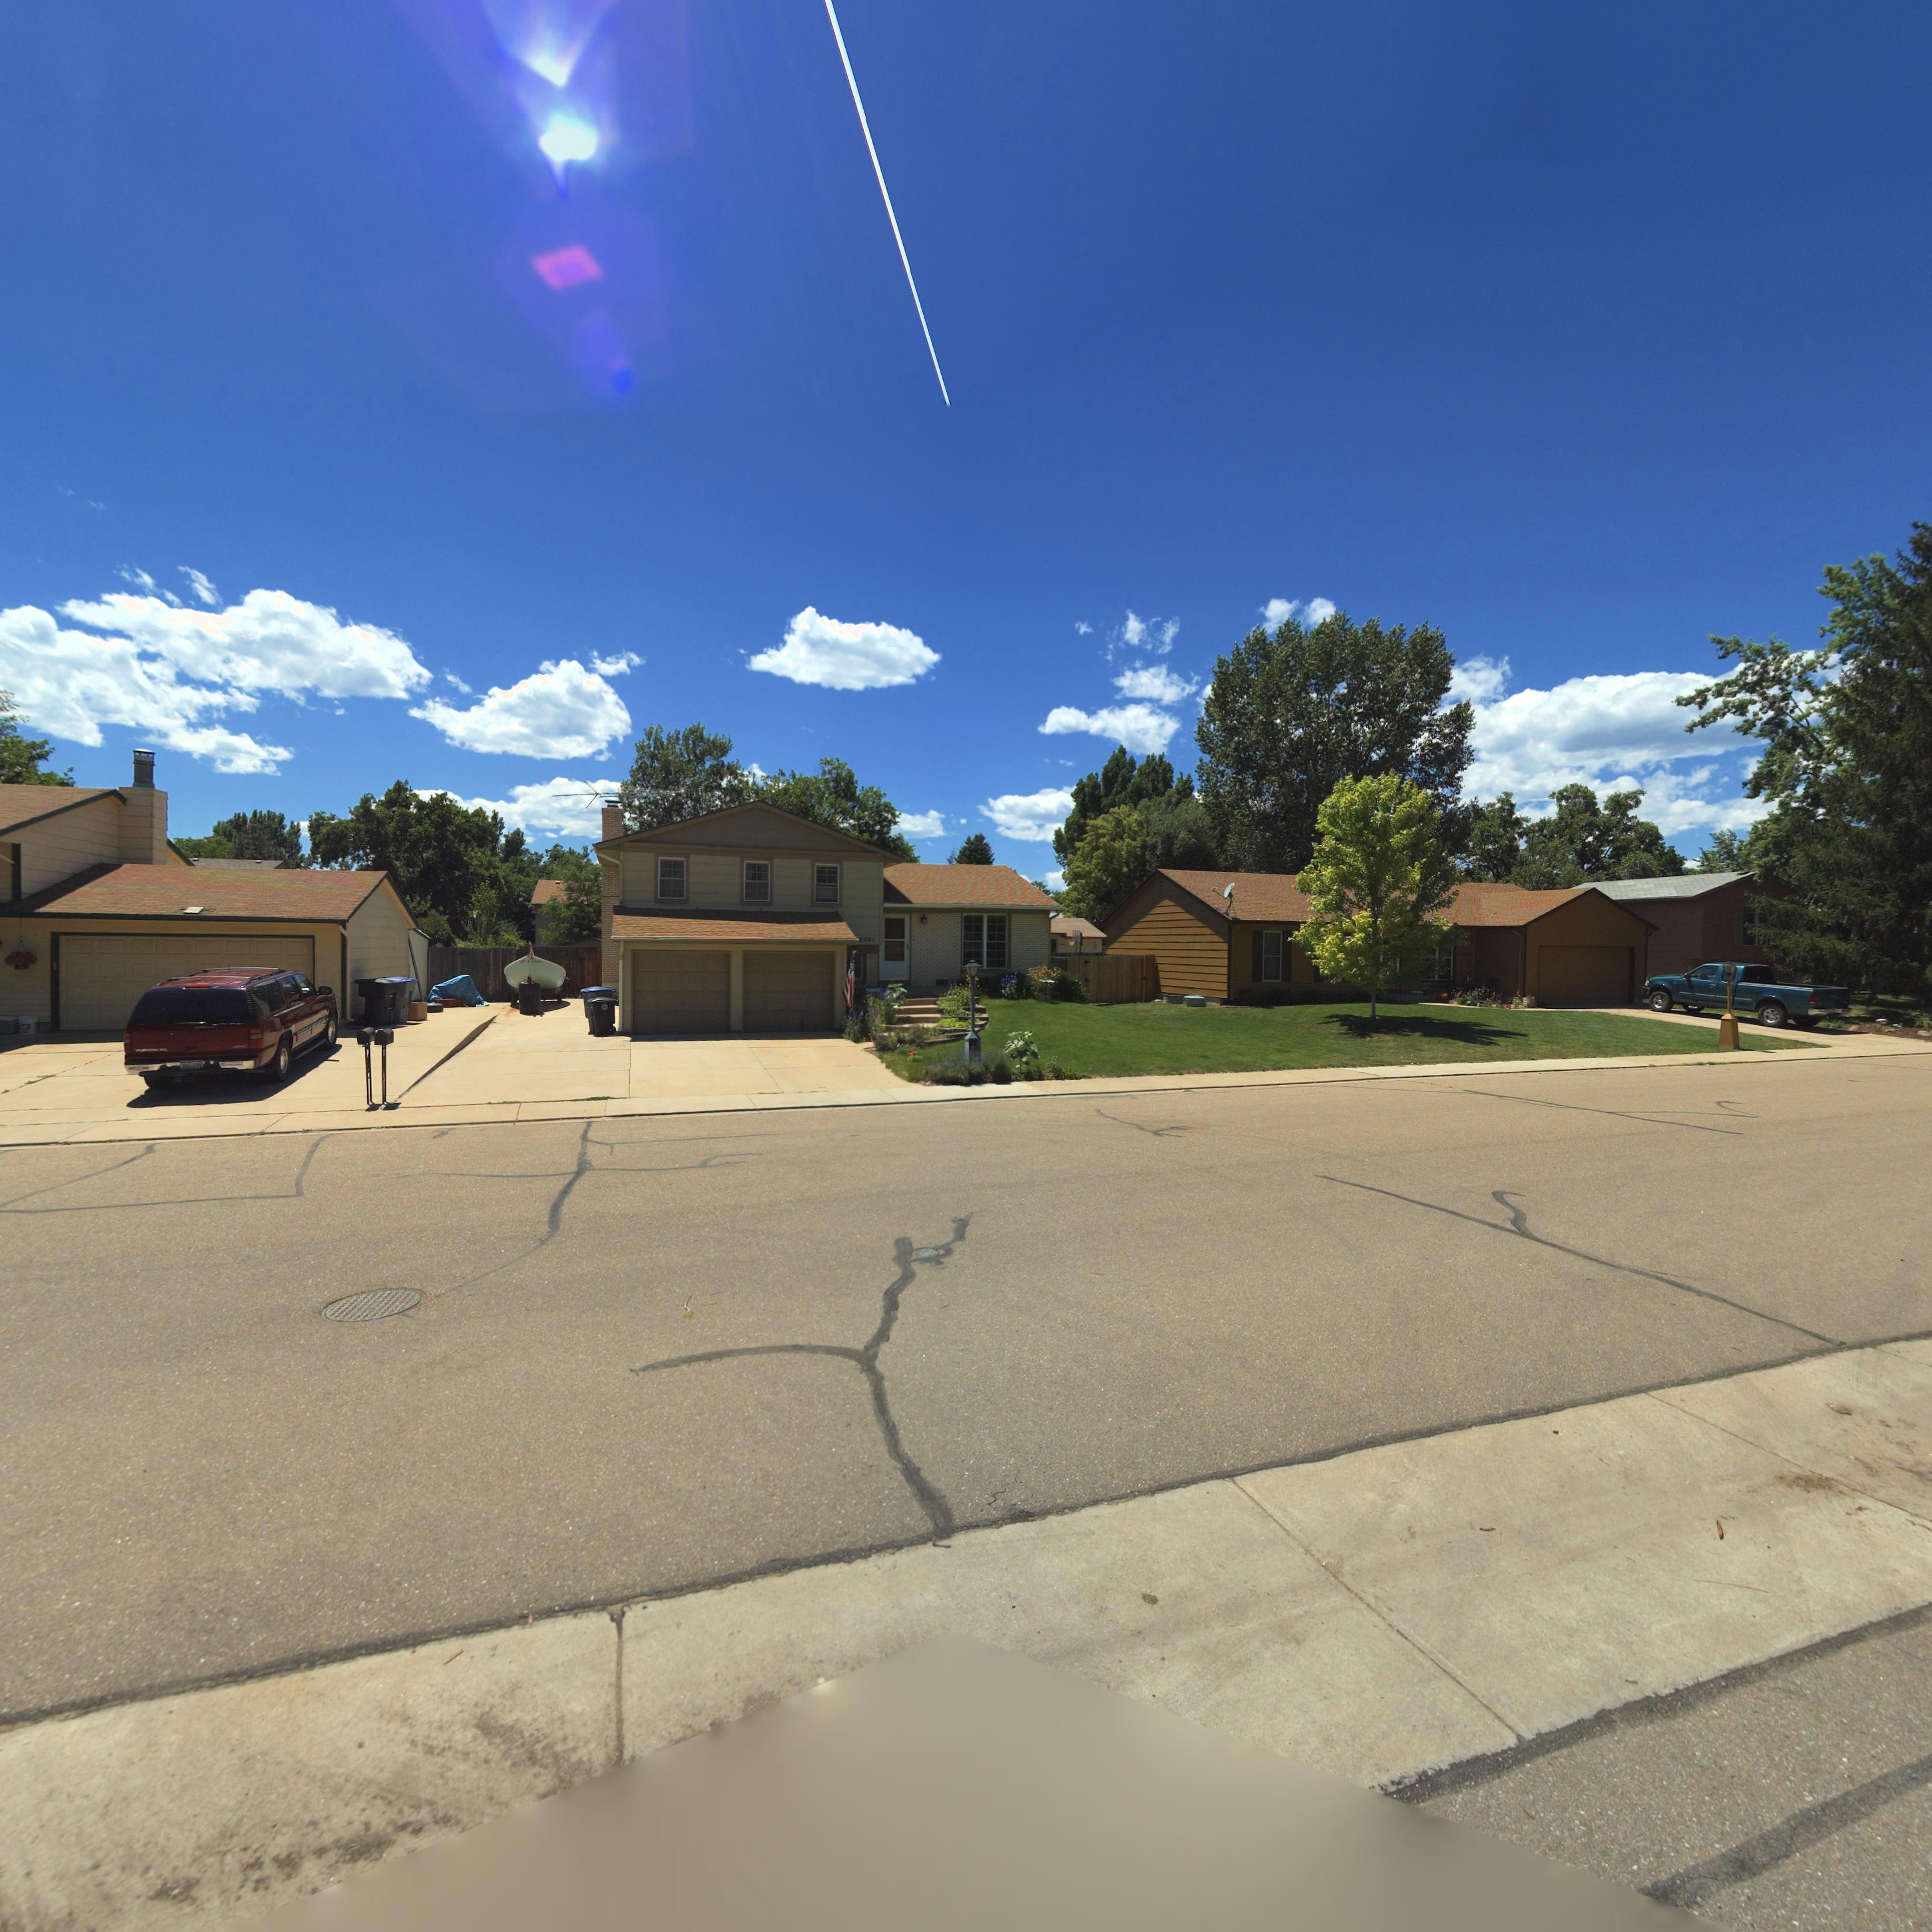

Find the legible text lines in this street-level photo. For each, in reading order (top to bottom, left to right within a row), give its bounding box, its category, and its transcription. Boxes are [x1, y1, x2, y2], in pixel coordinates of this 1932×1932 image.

[859, 936, 874, 942] StreetNumber: 2201